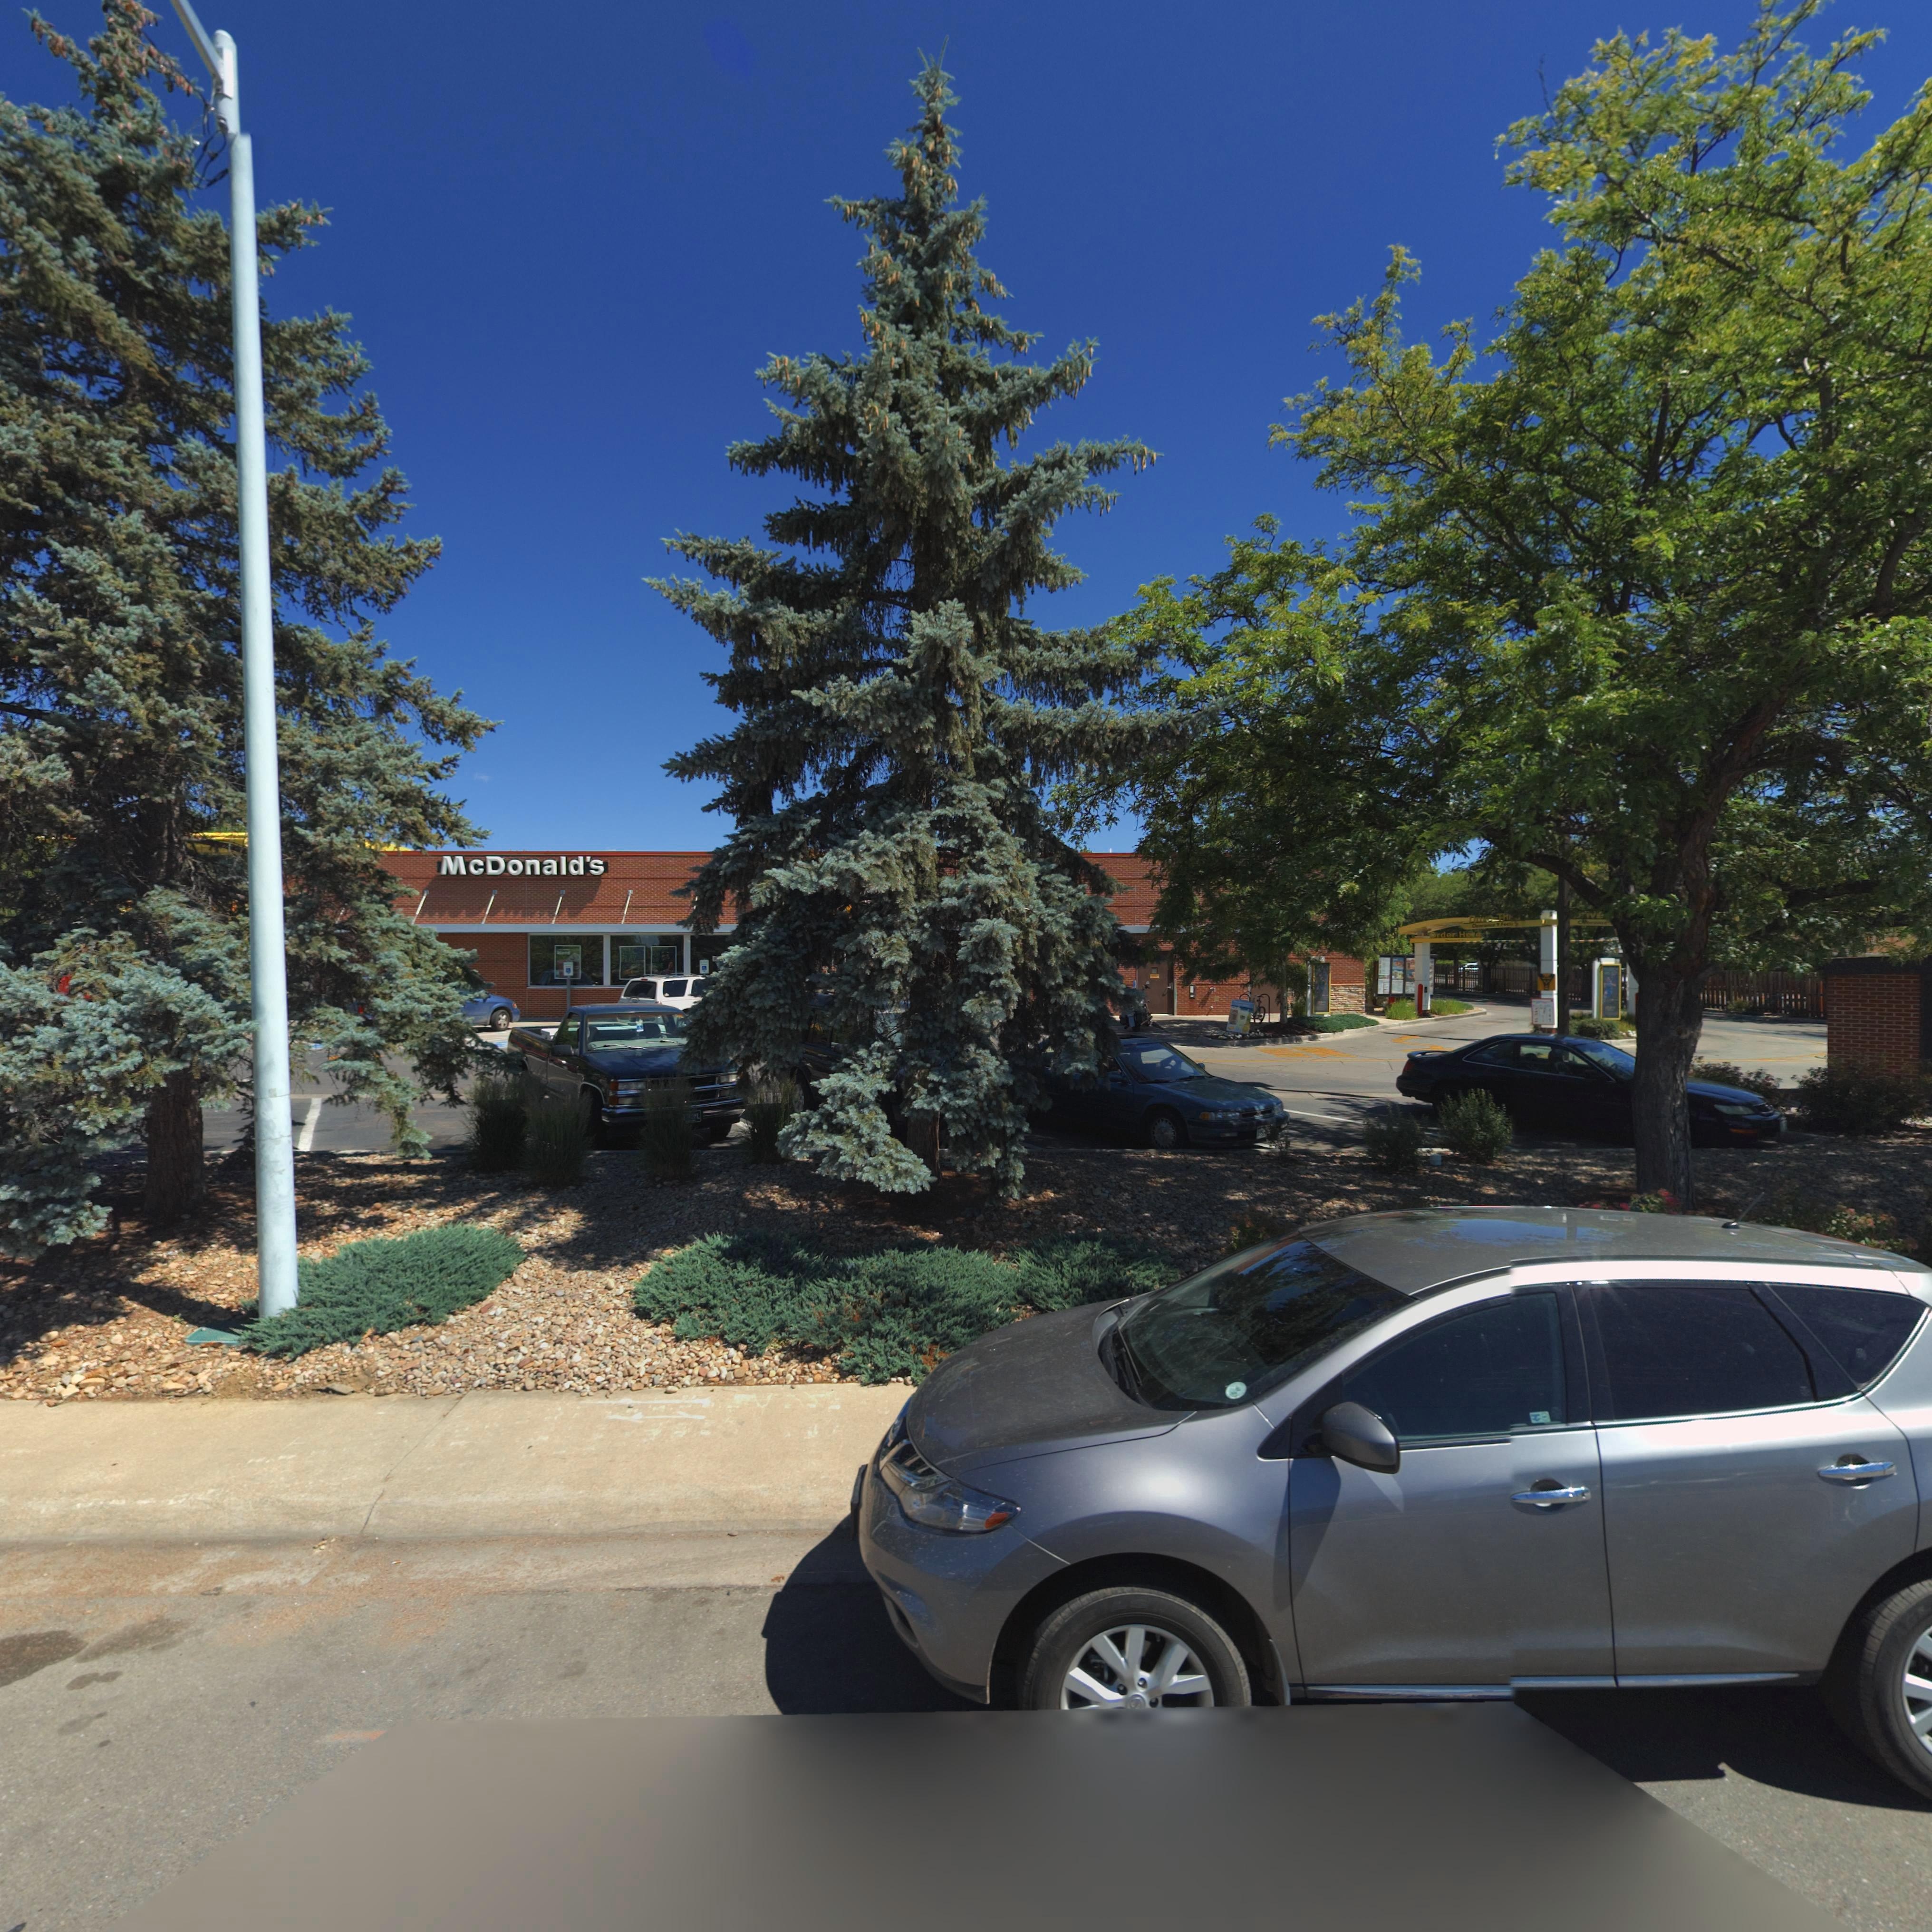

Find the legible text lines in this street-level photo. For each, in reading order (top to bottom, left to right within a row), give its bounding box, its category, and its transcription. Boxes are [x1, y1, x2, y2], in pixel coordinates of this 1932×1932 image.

[439, 855, 605, 876] BusinessName: McDonald's